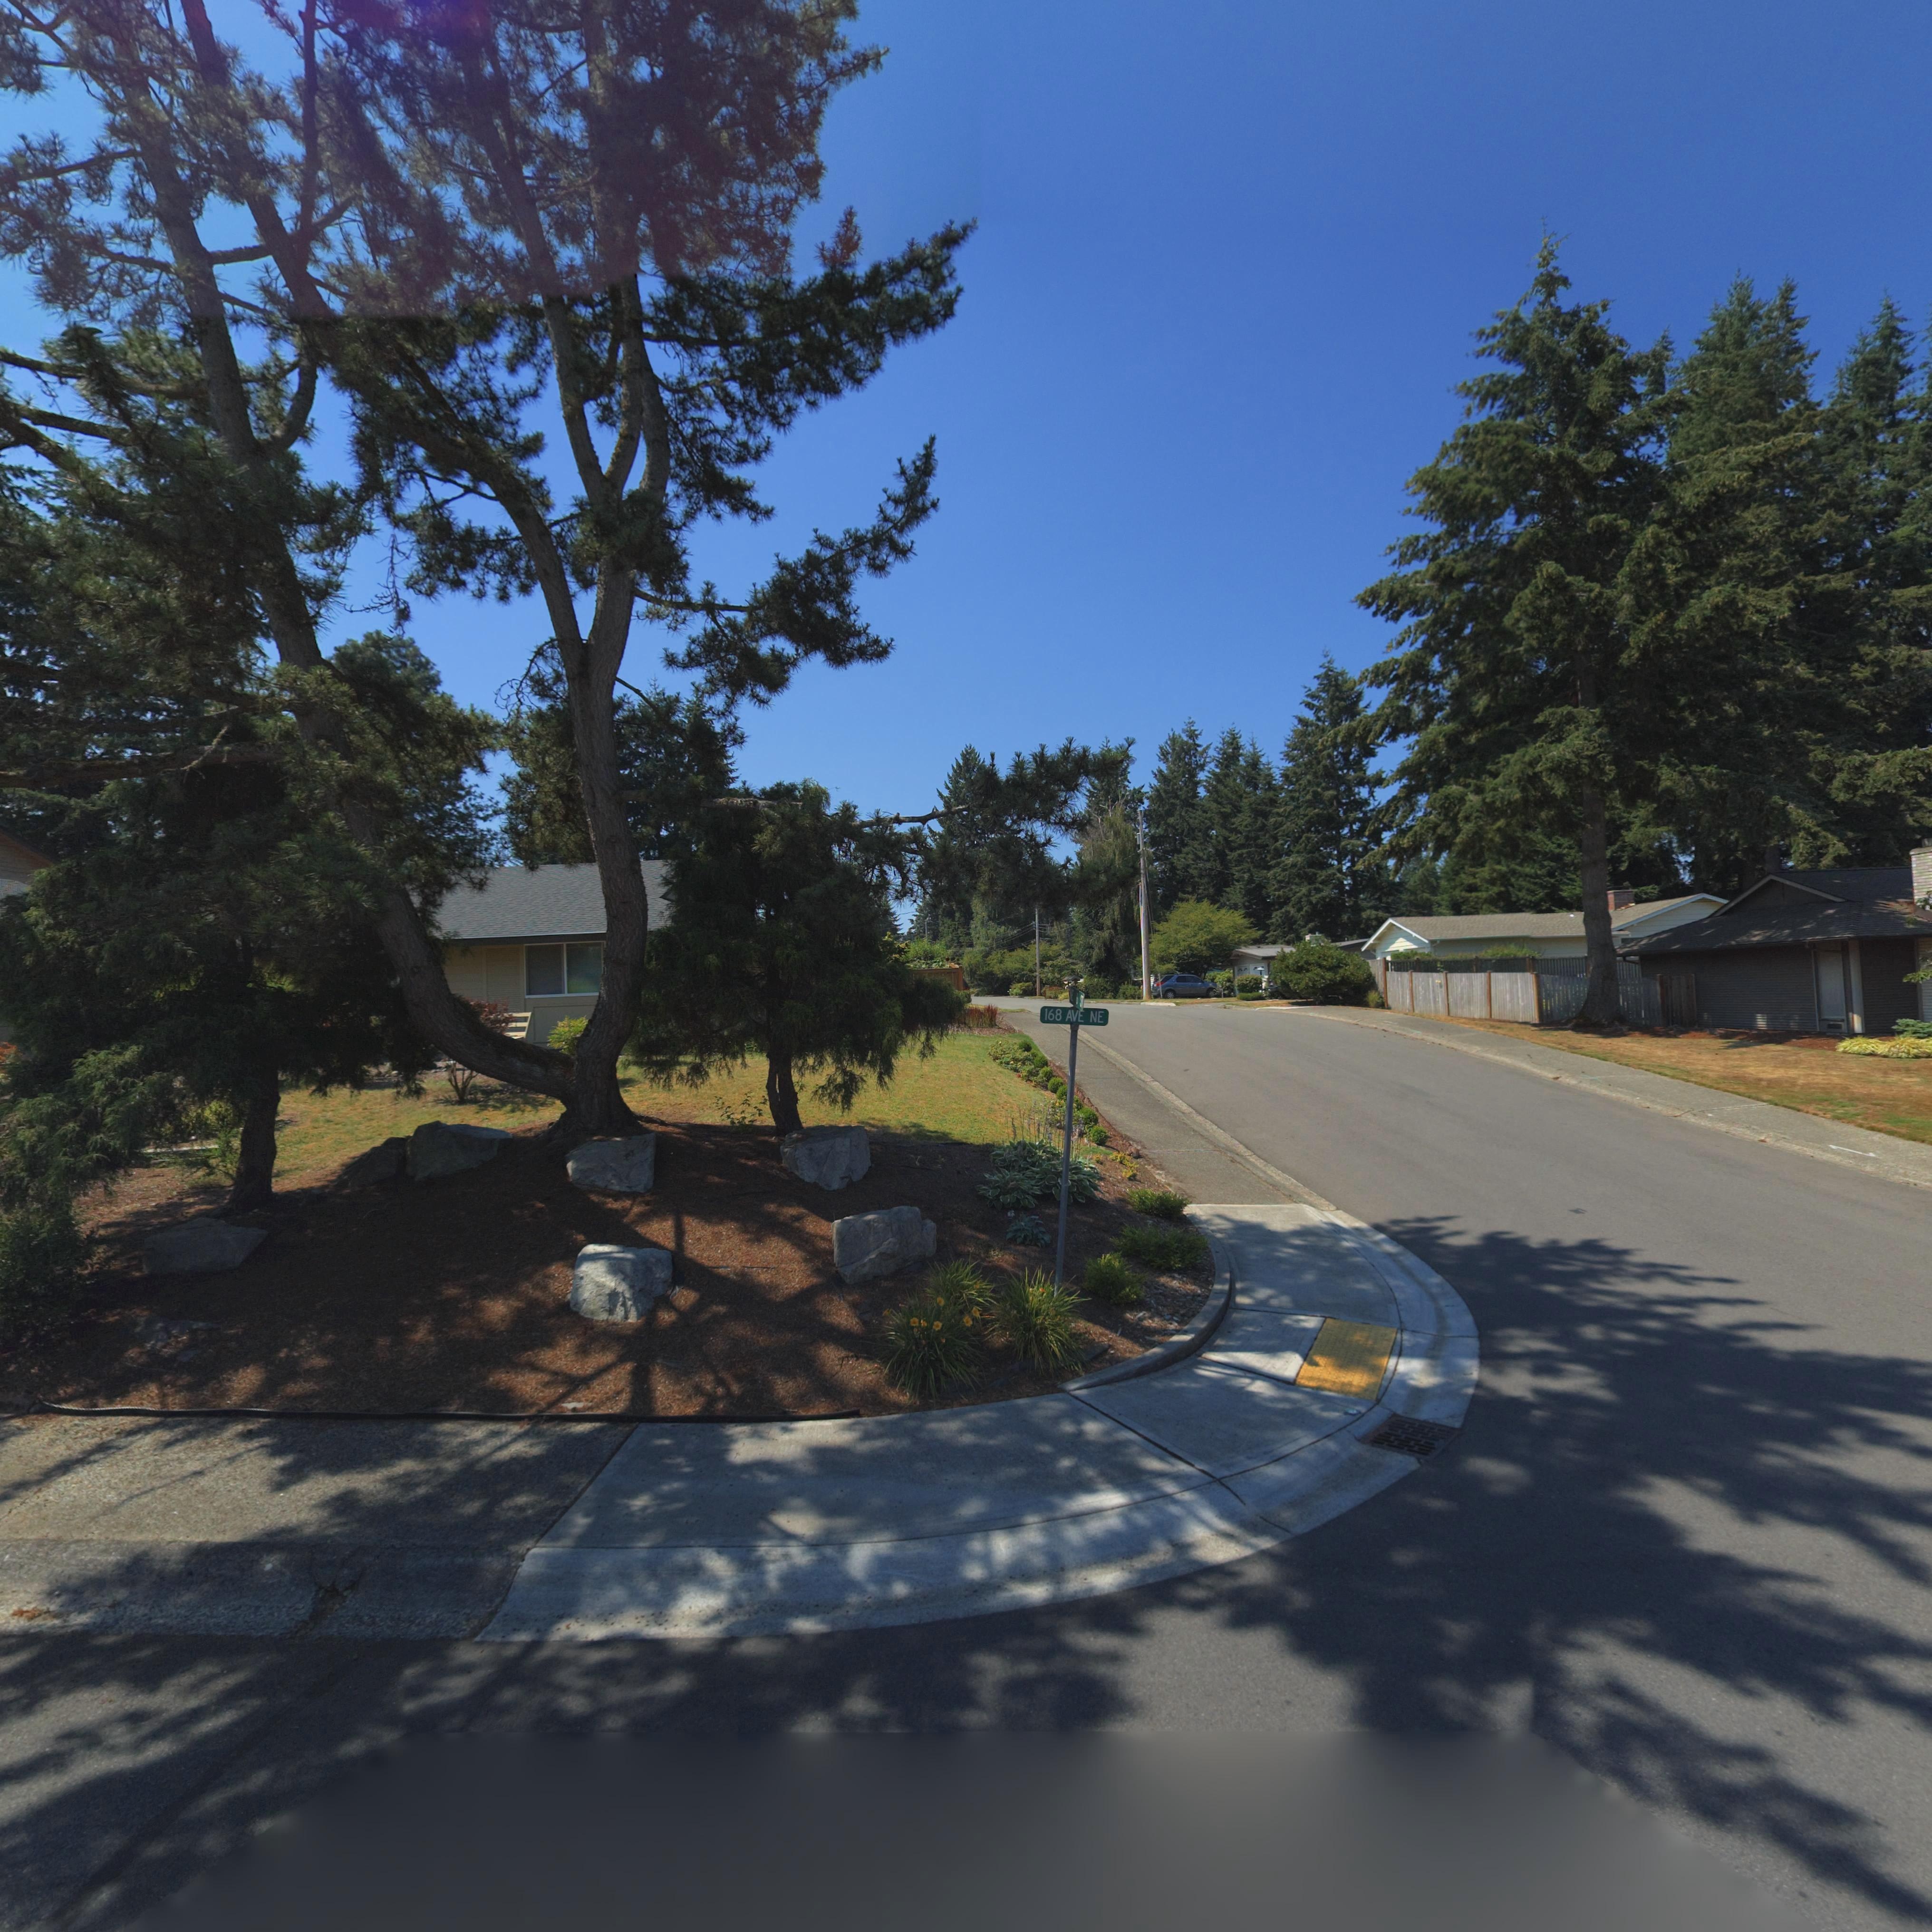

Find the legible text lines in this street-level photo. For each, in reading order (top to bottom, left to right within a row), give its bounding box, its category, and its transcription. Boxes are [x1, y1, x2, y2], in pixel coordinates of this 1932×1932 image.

[1045, 1009, 1103, 1023] StreetName: 168 AVE NE